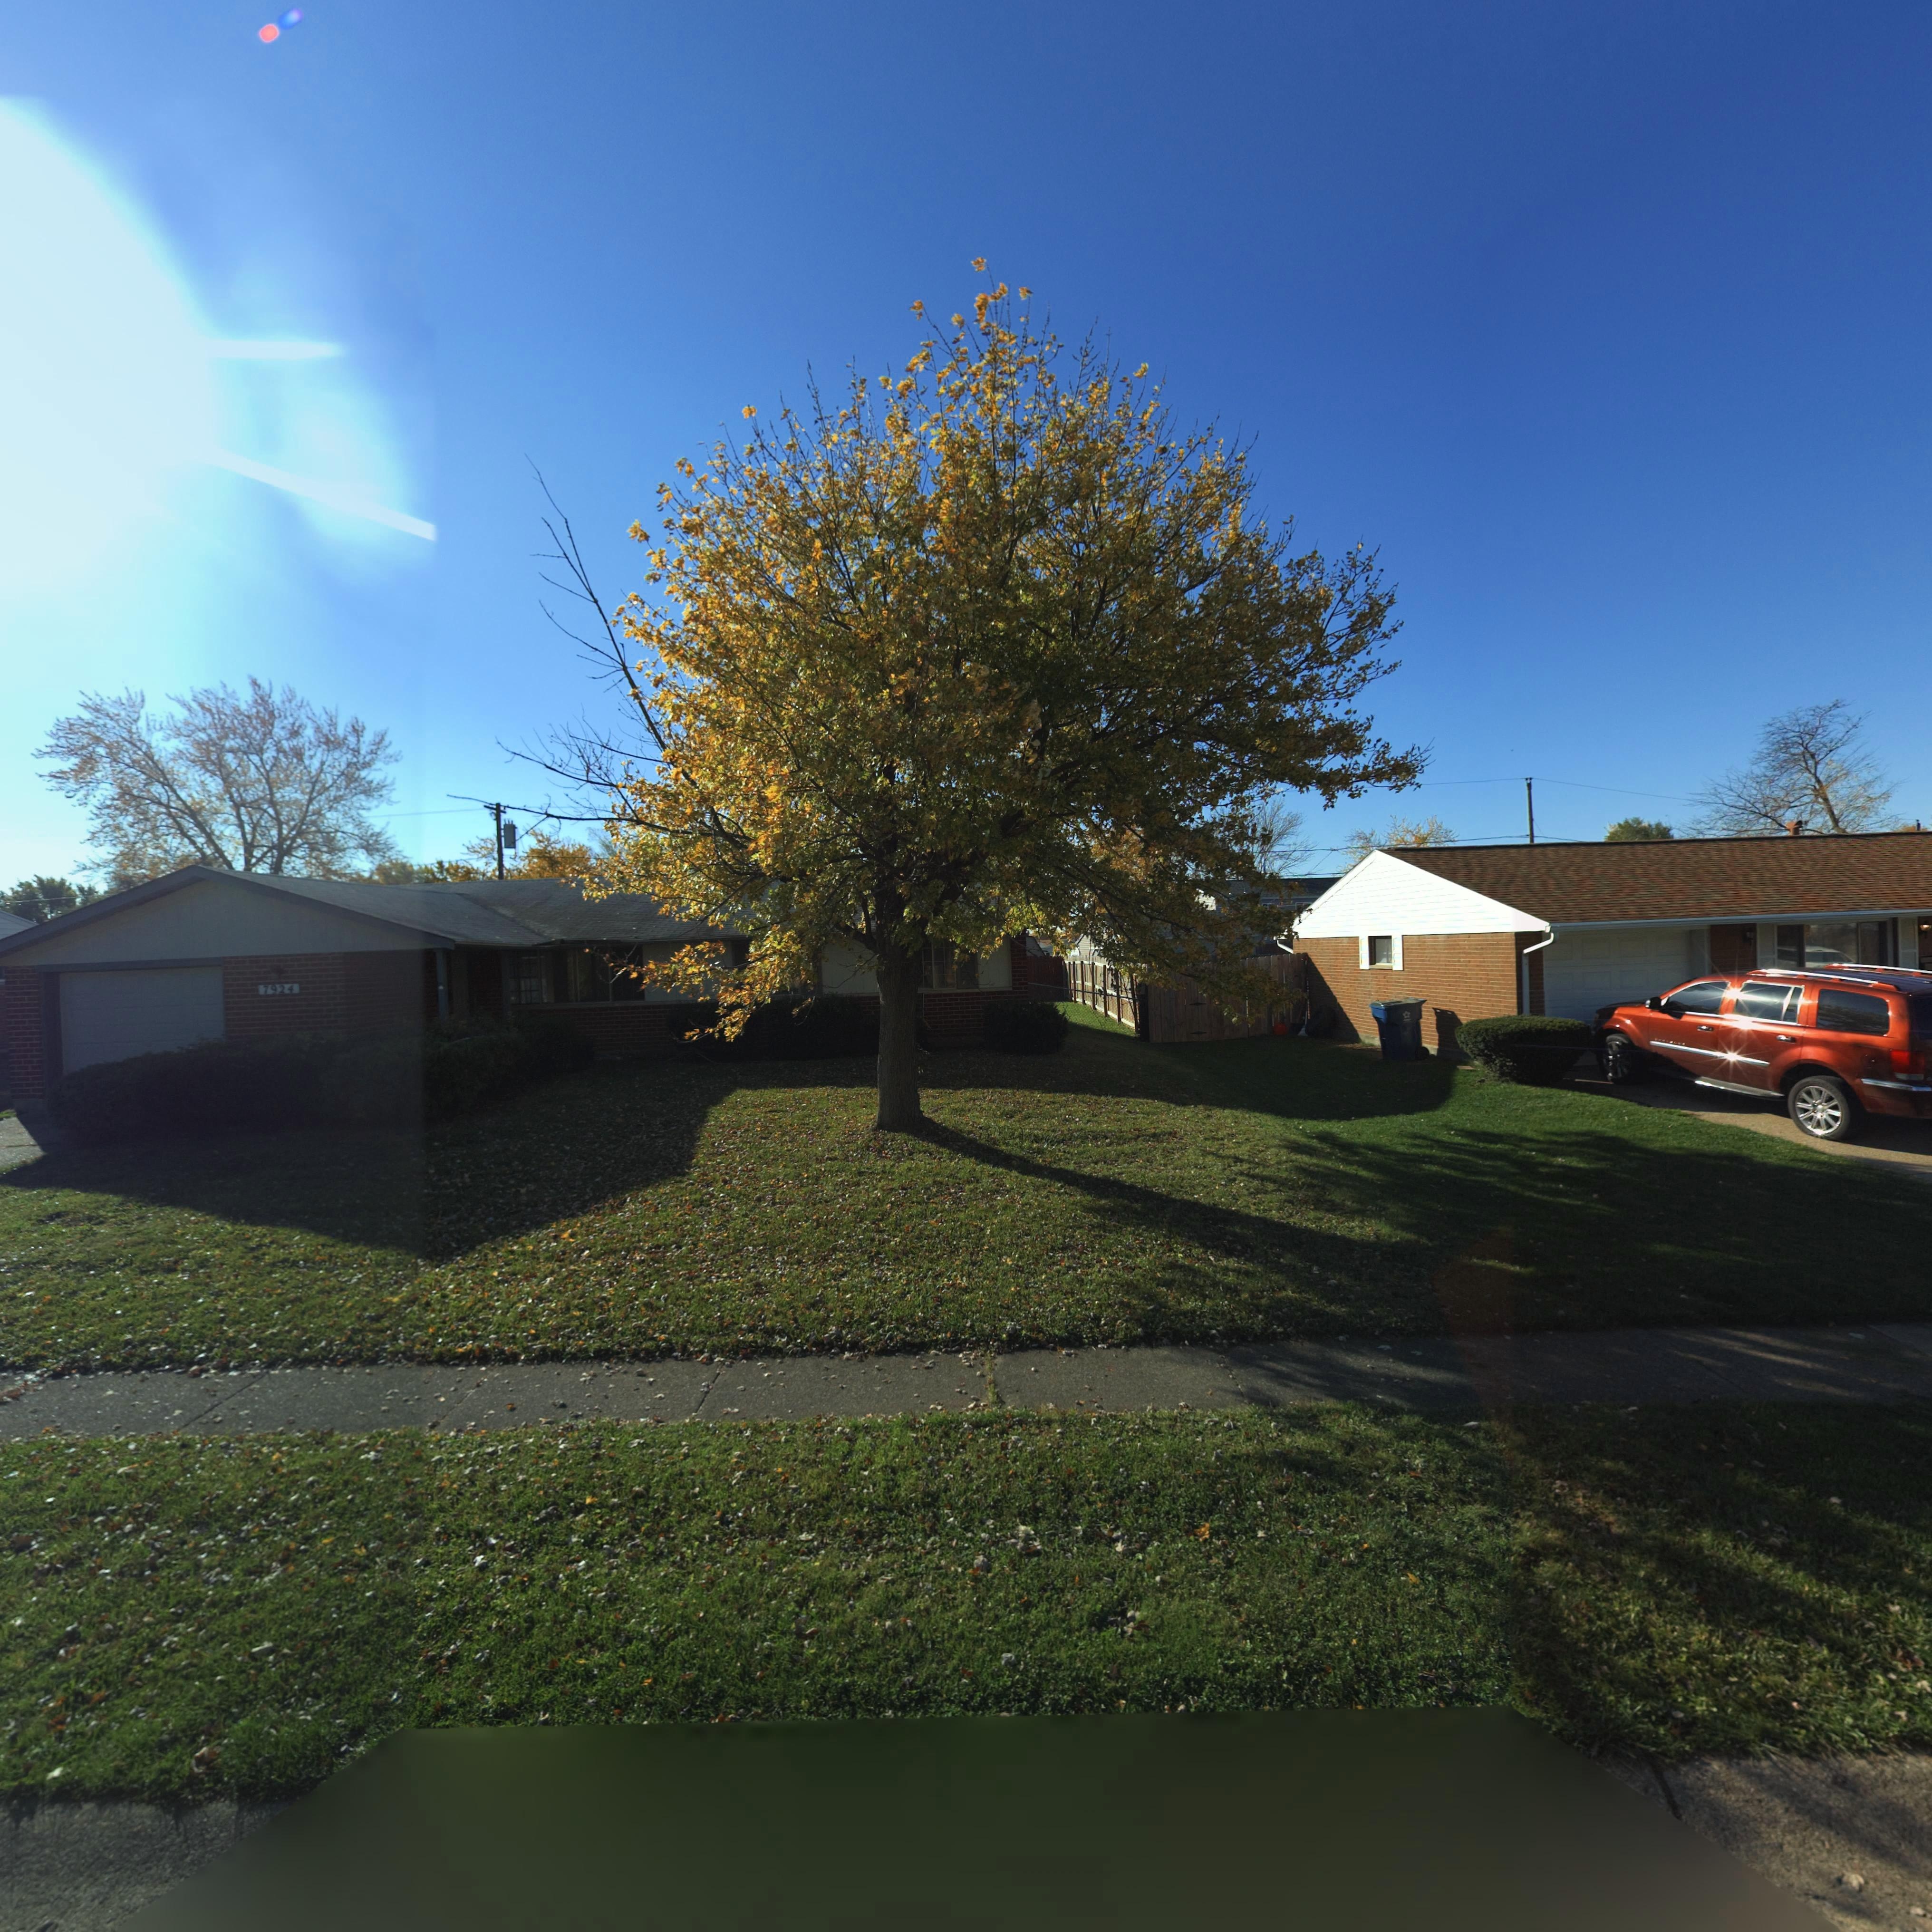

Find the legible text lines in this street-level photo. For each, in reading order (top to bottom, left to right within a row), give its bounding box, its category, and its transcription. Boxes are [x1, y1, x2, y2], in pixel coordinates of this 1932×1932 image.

[262, 984, 295, 995] StreetNumber: 7924